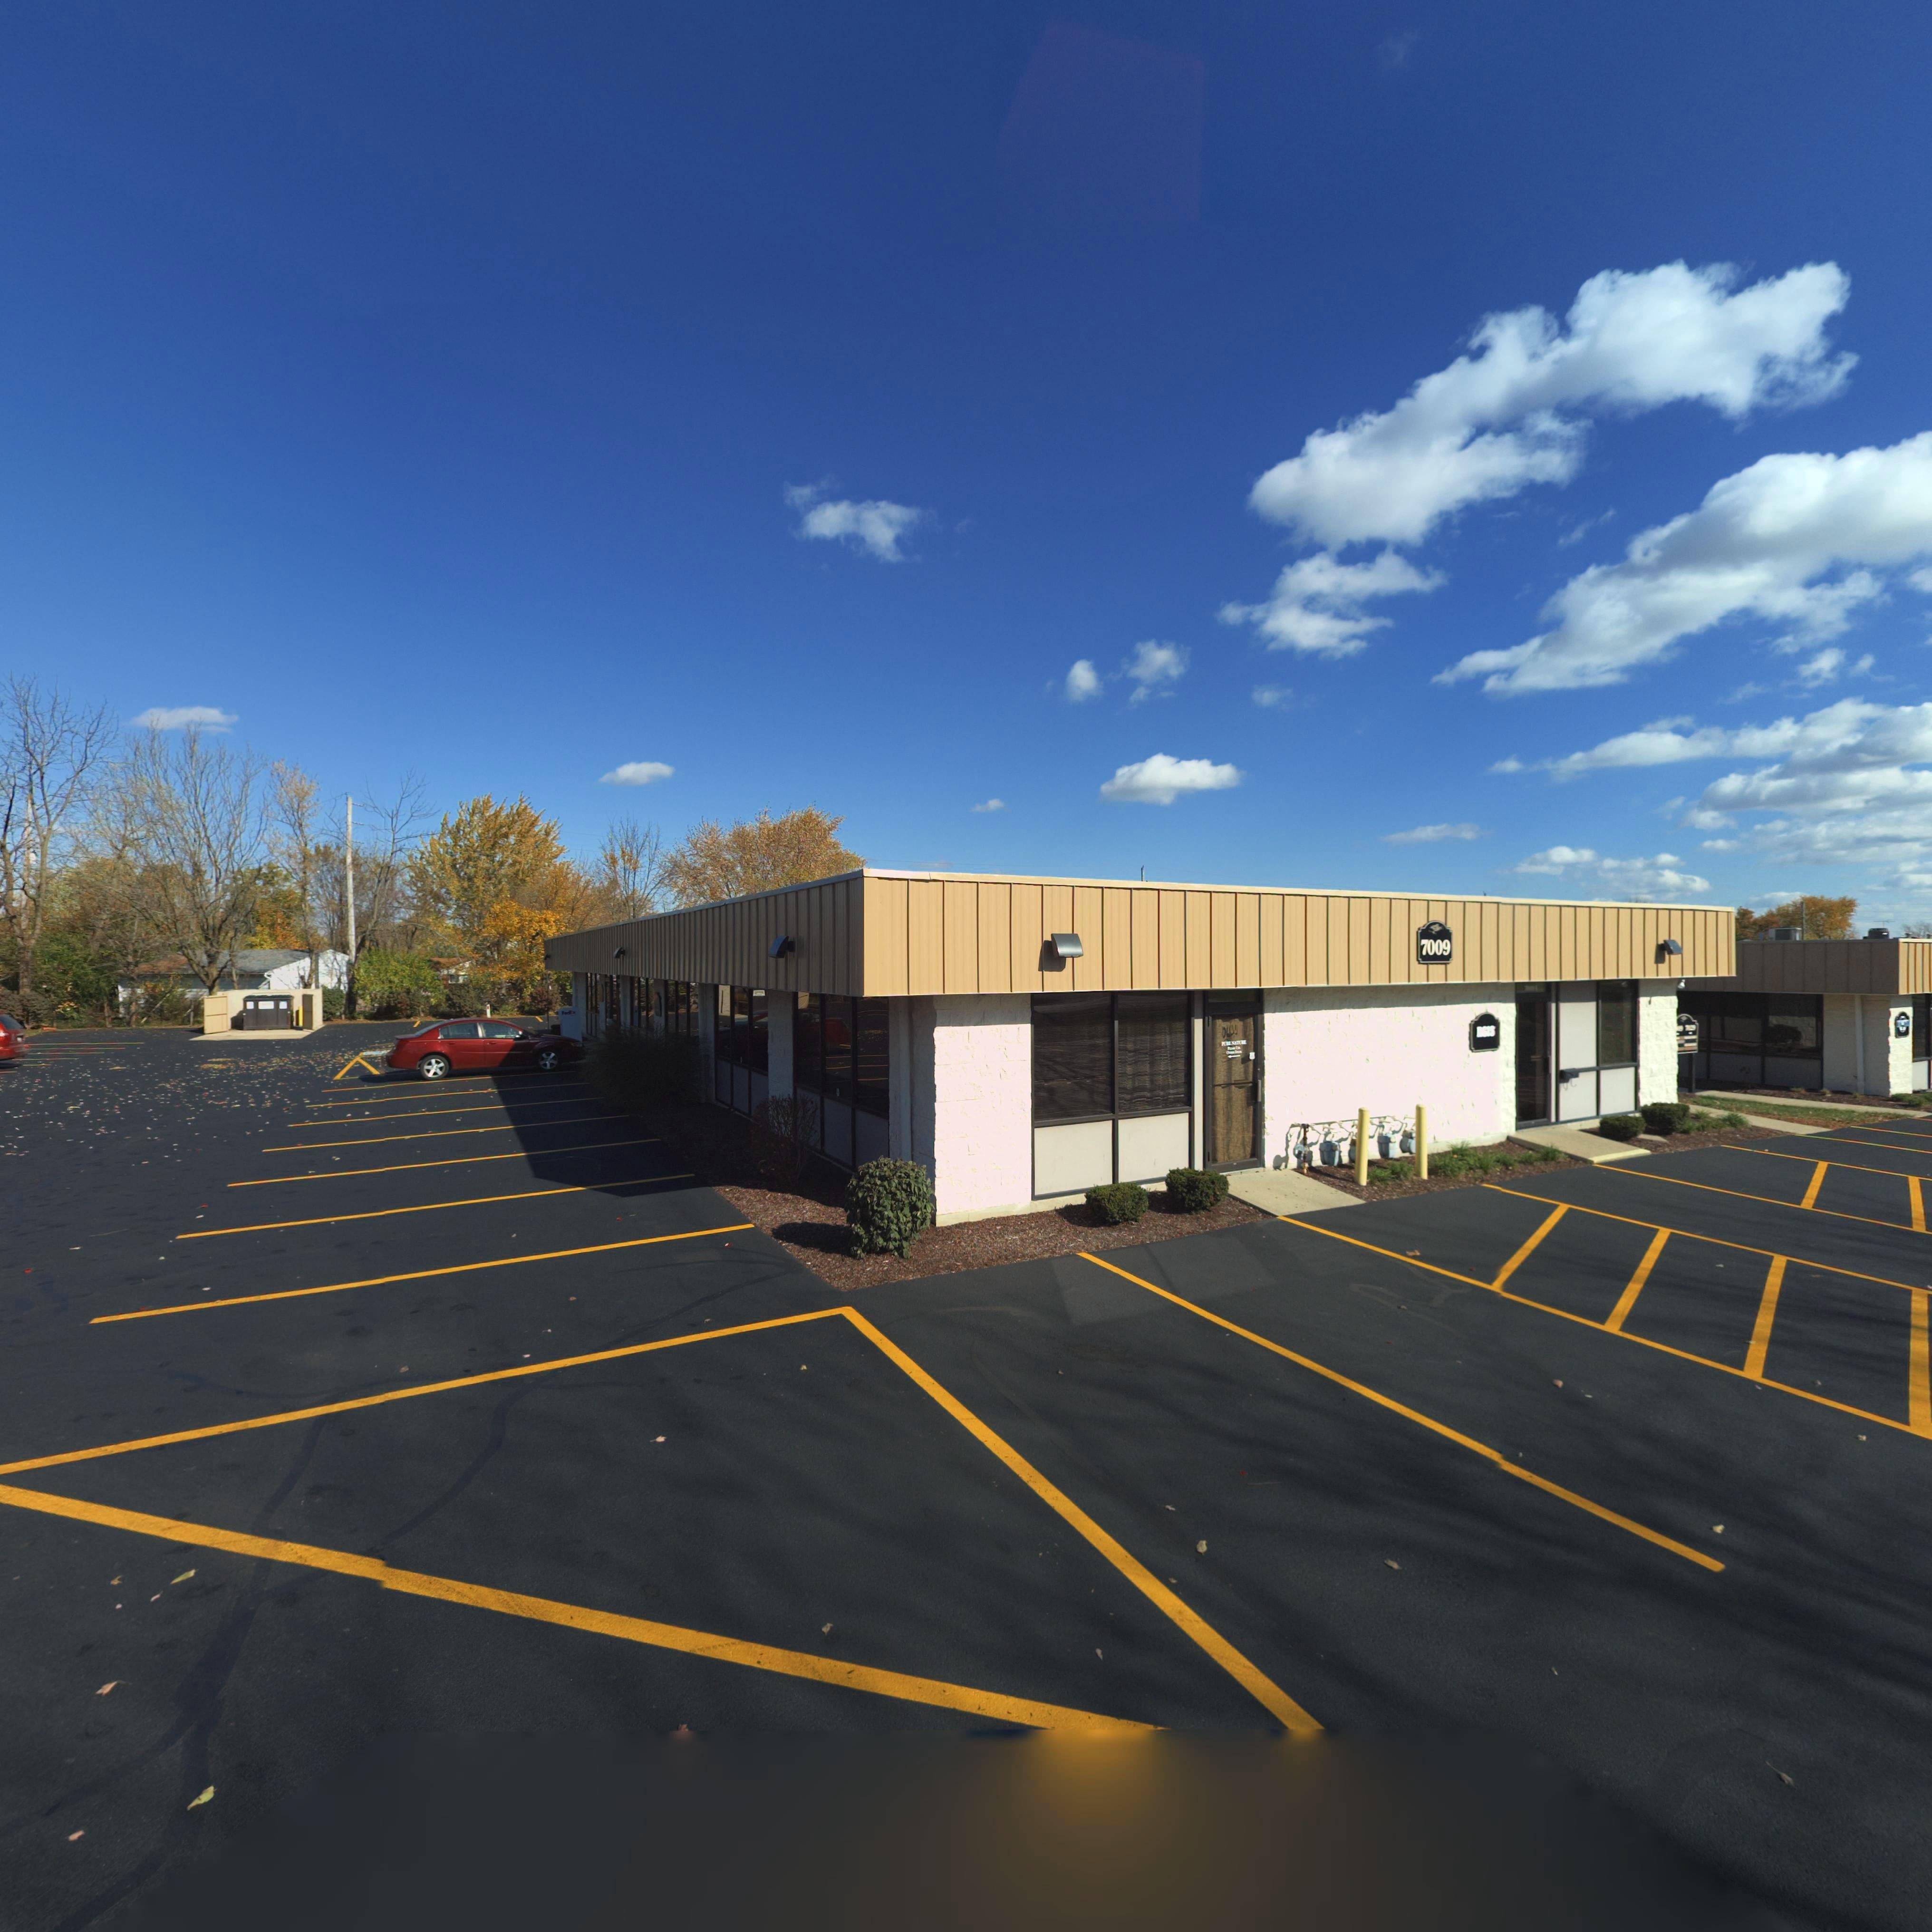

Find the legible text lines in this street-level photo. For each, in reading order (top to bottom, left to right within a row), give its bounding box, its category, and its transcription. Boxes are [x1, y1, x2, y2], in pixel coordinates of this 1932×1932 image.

[1419, 937, 1452, 958] StreetNumber: 7009
[1224, 1023, 1239, 1036] StreetNumber: *00